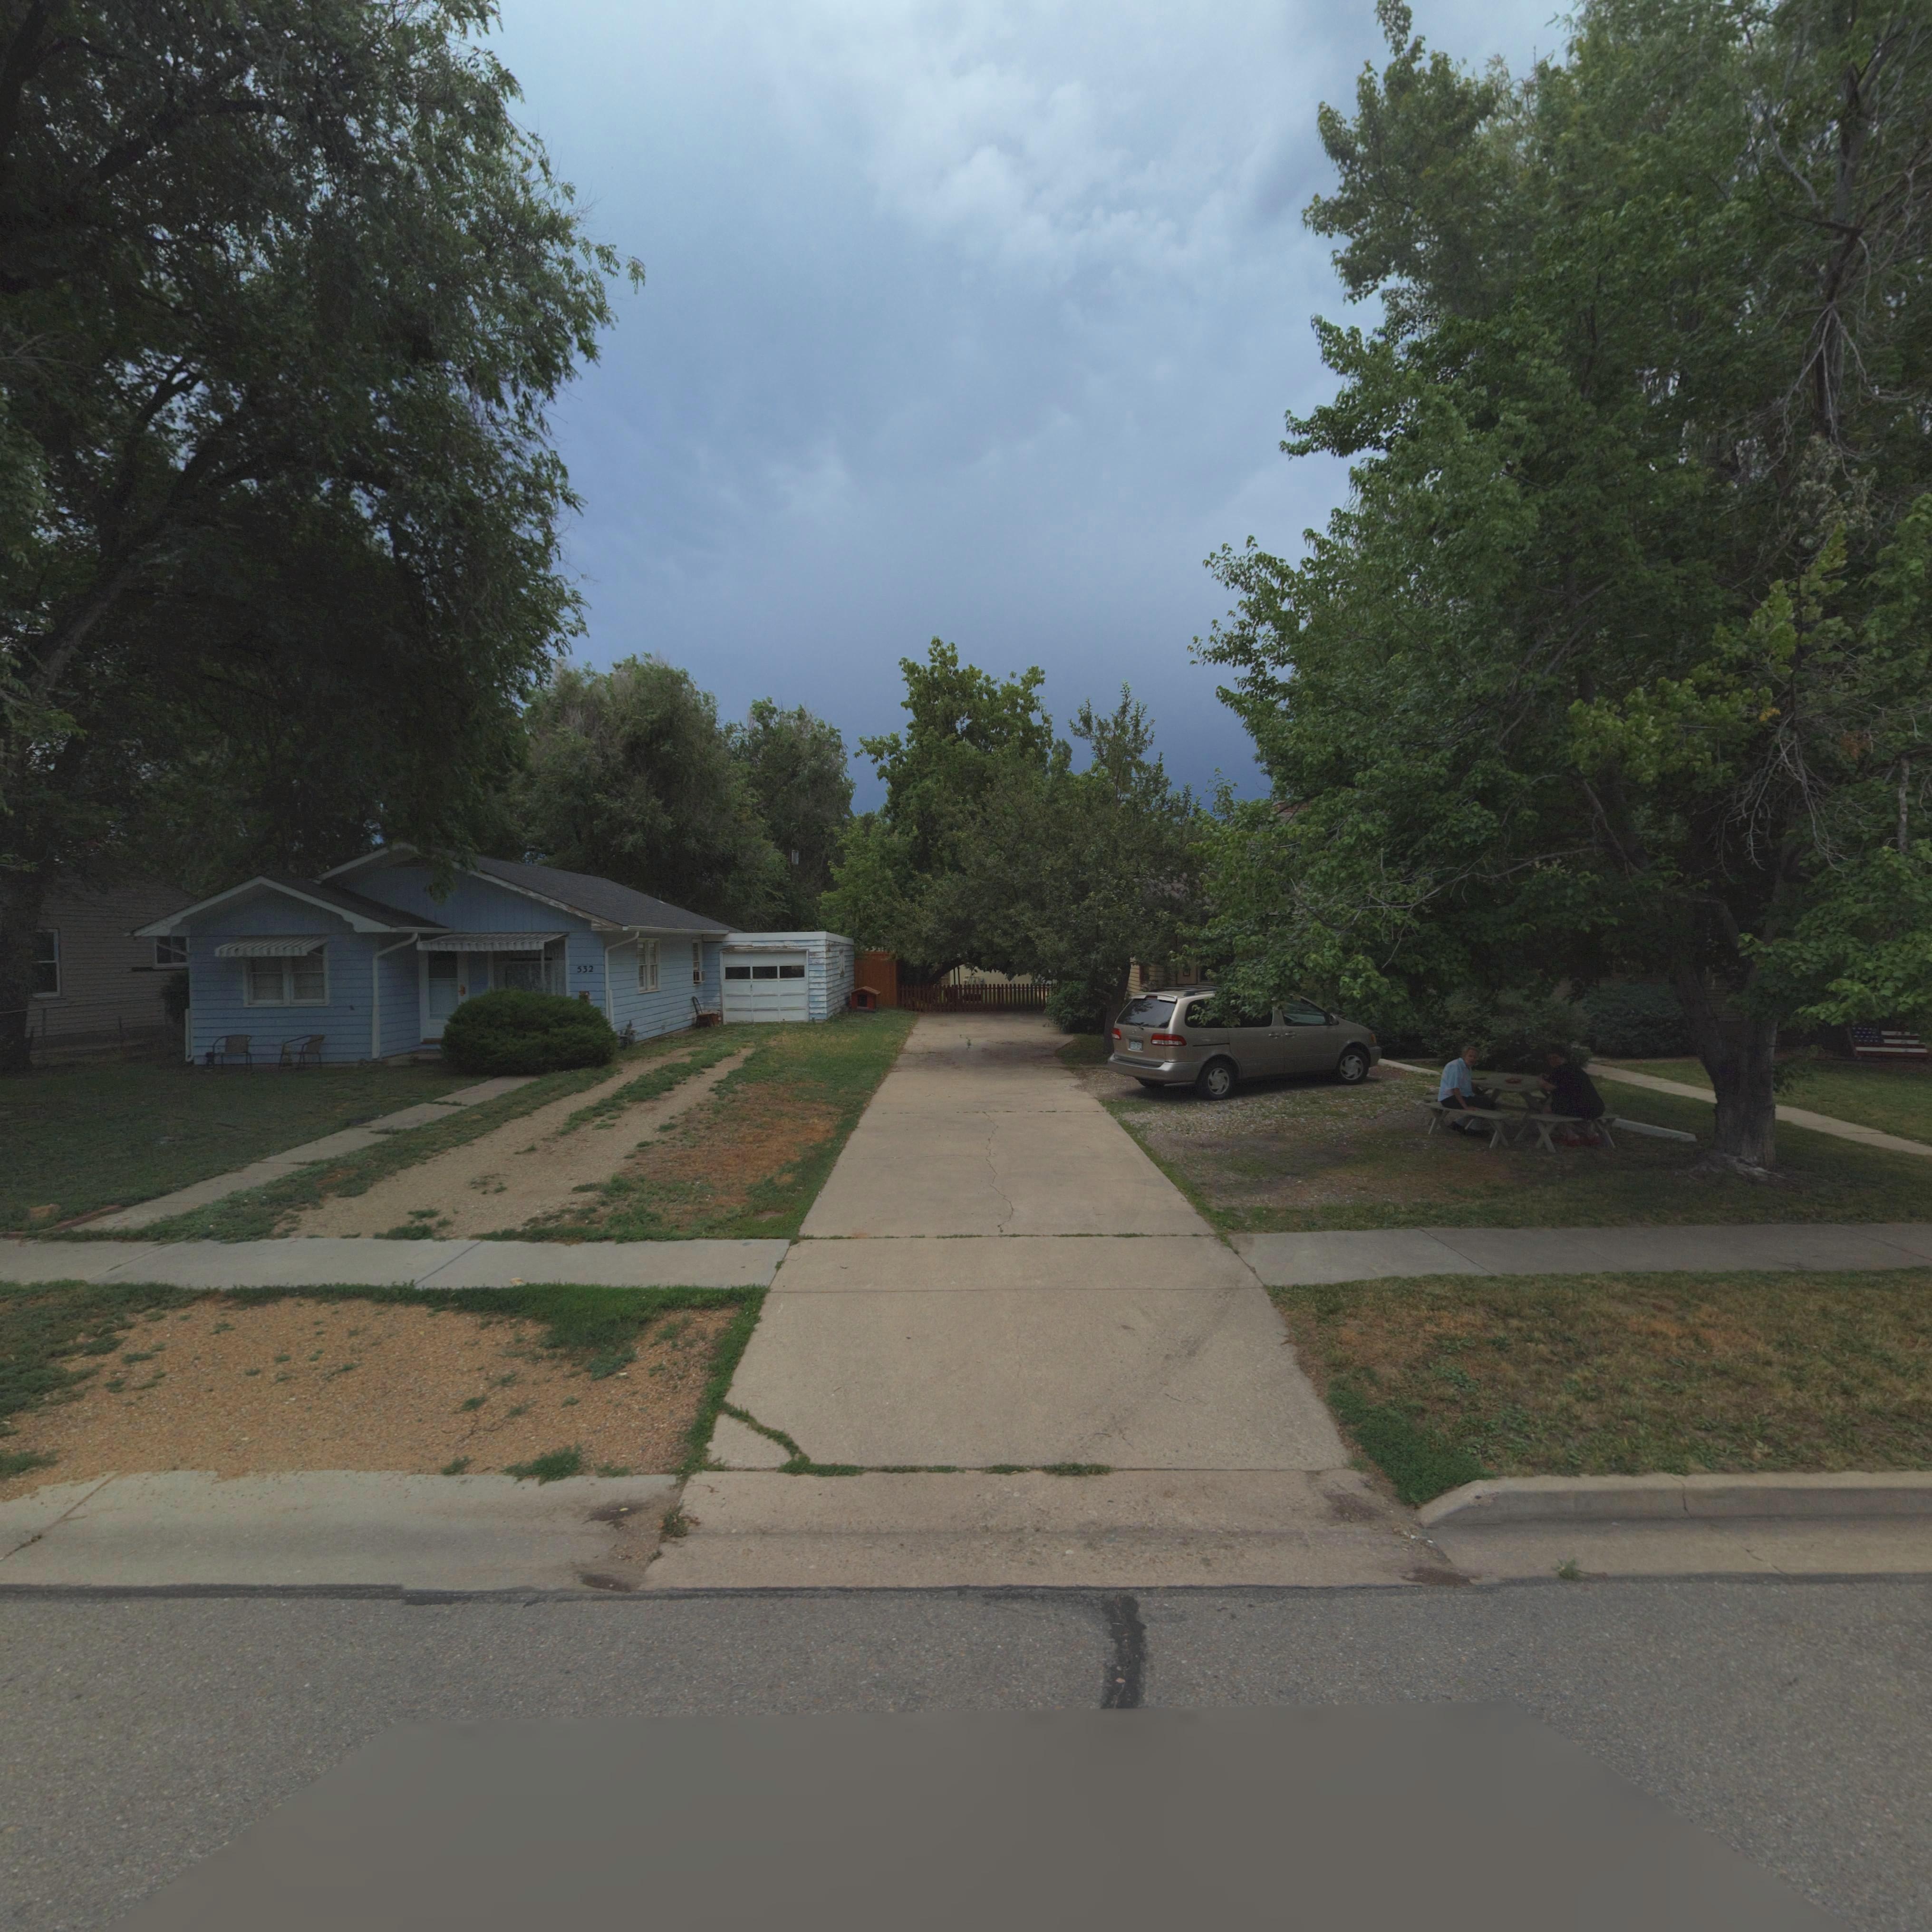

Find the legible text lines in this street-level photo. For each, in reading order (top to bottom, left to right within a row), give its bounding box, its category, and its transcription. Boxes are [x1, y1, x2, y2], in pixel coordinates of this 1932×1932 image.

[577, 965, 593, 973] StreetNumber: 532